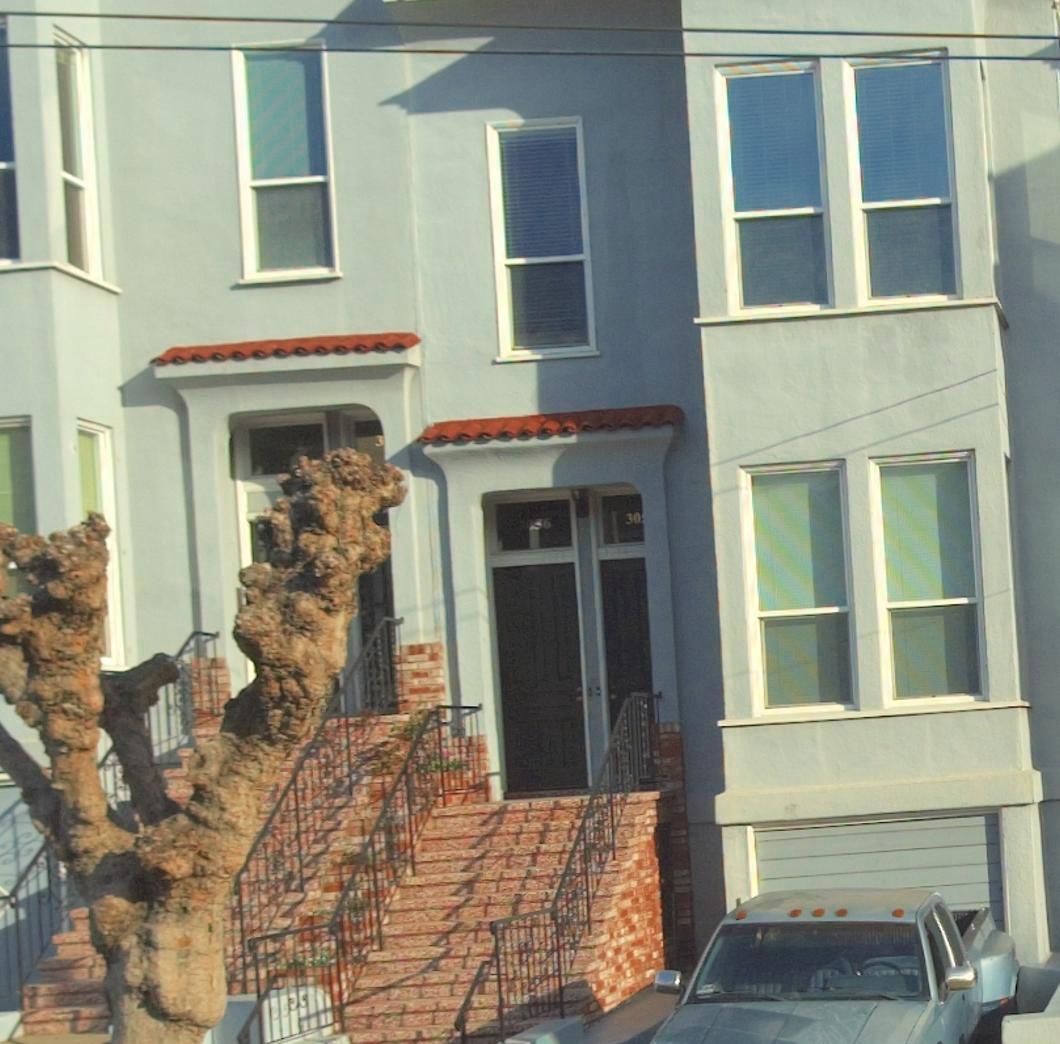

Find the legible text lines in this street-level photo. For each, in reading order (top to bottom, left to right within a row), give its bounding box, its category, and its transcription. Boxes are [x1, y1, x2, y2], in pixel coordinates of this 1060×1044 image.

[516, 516, 553, 532] StreetNumber: 3056
[623, 510, 642, 526] StreetNumber: 30